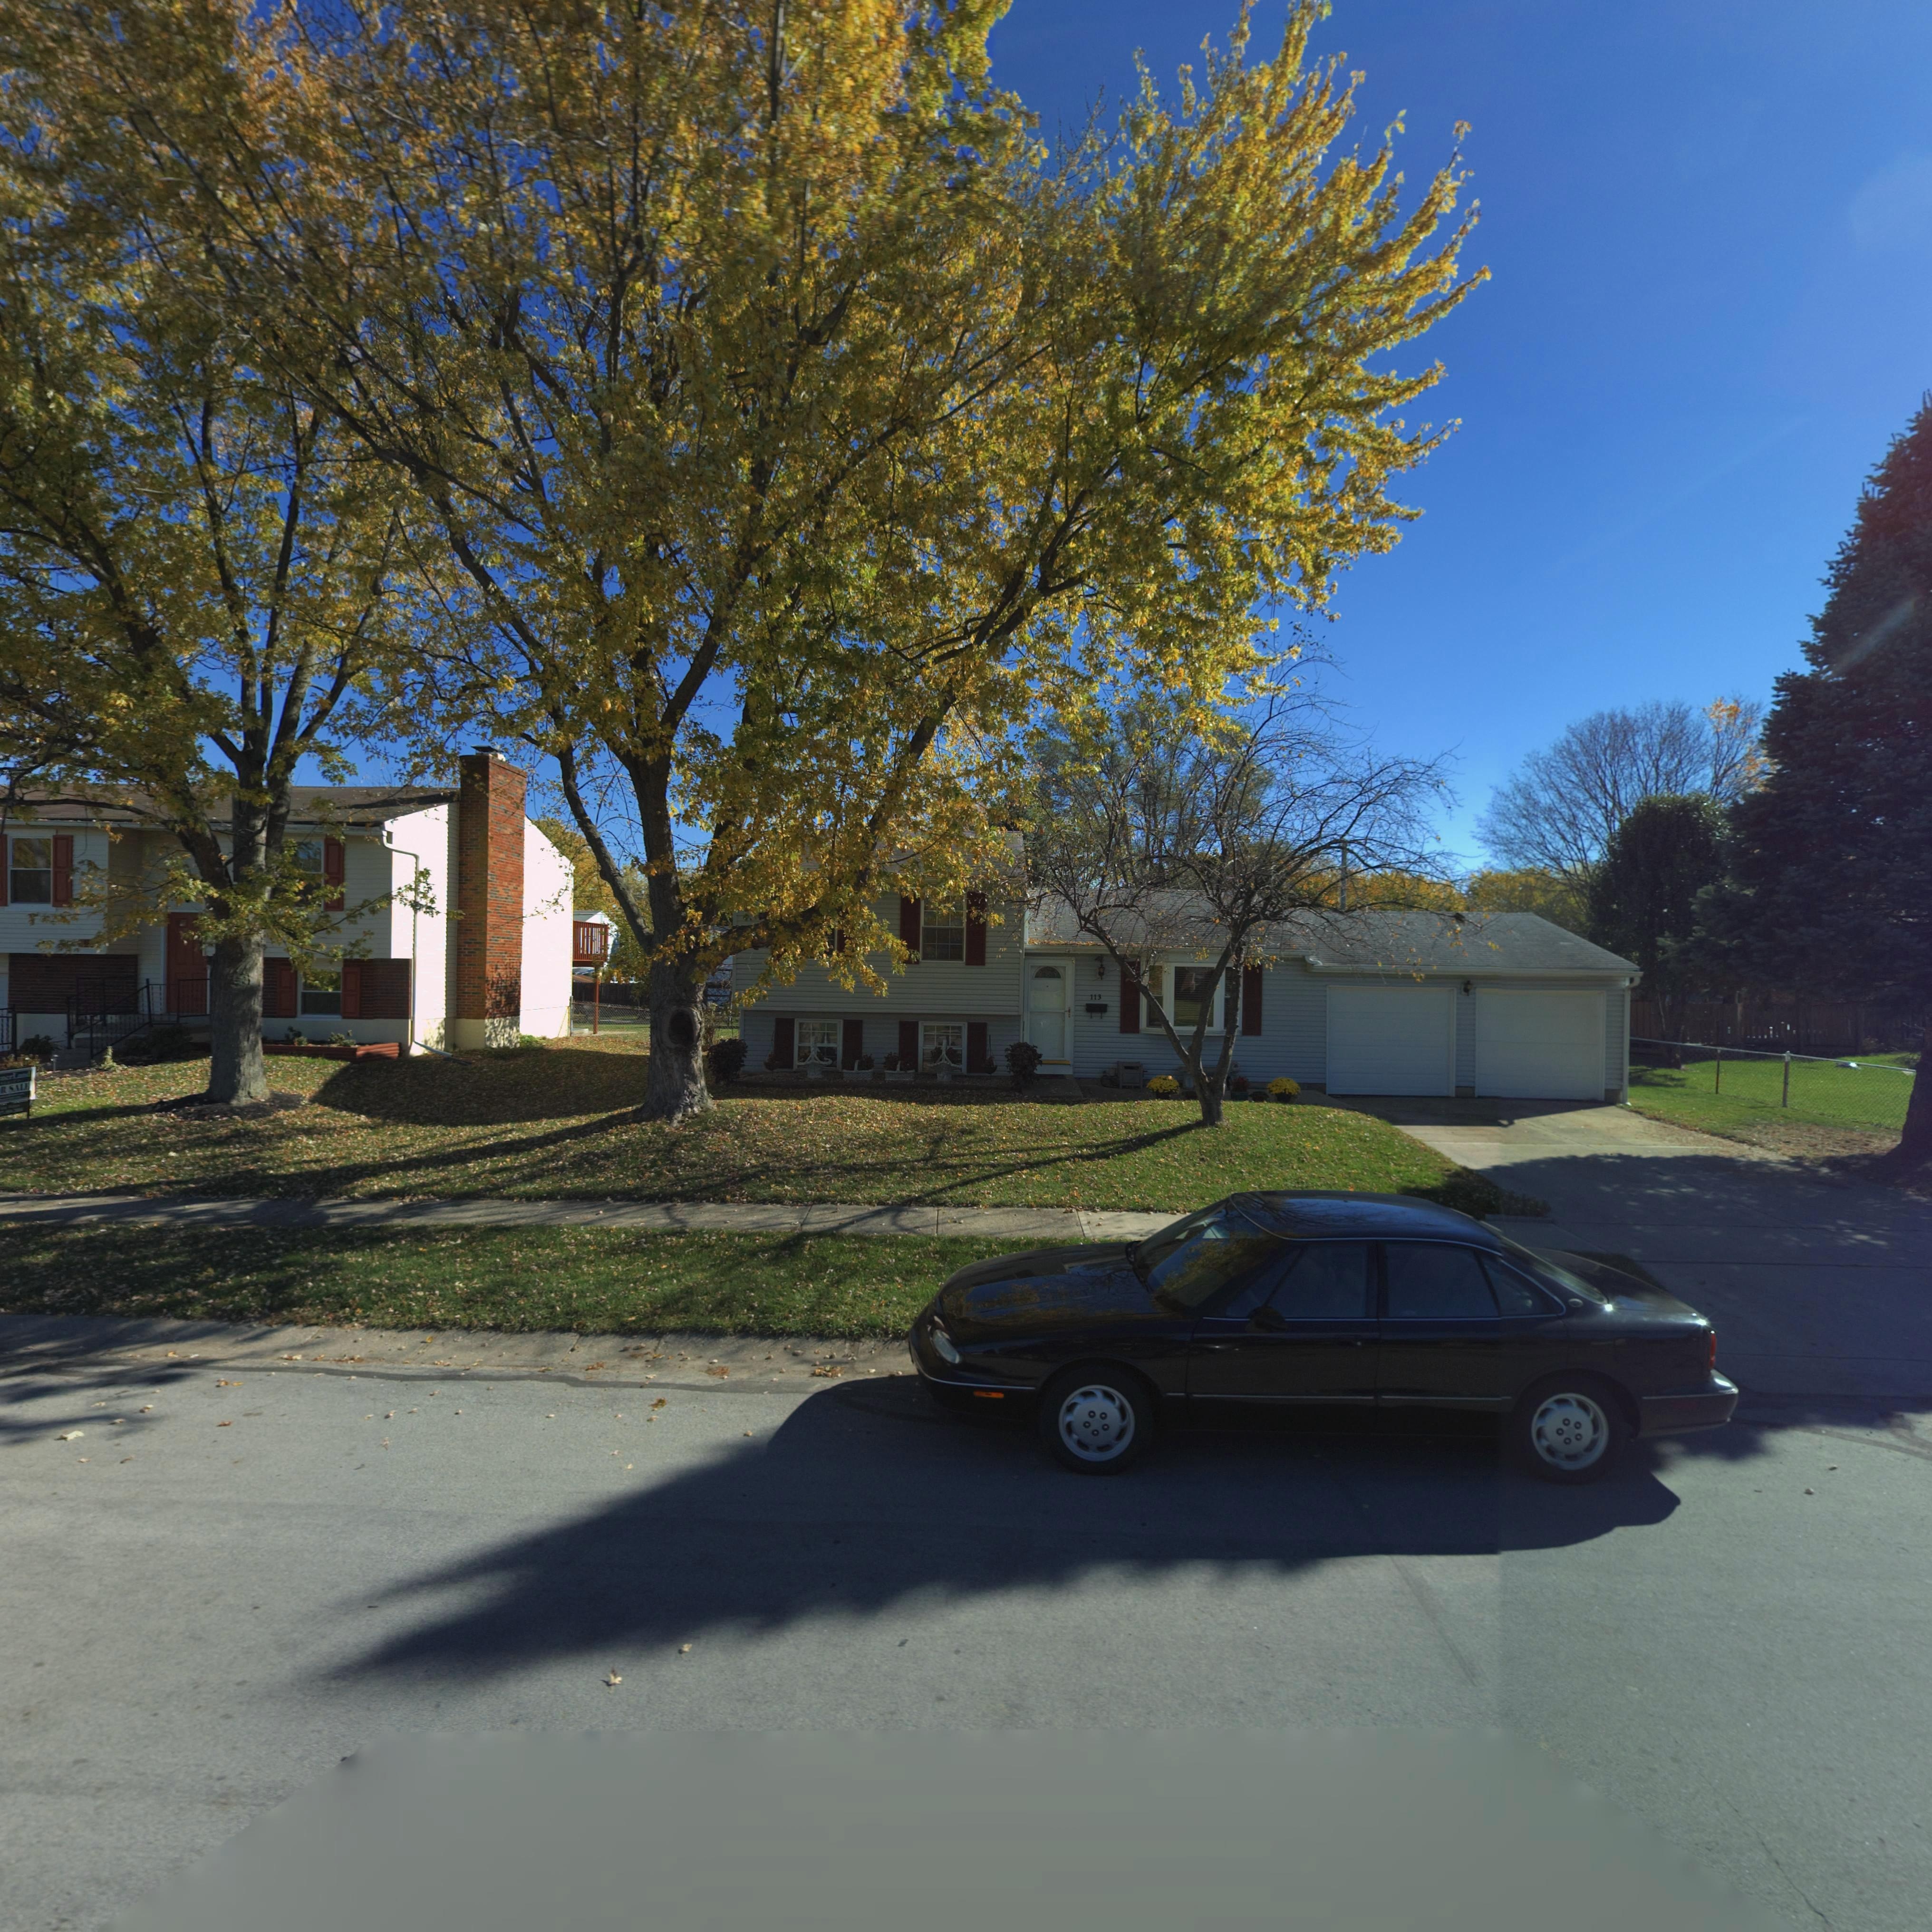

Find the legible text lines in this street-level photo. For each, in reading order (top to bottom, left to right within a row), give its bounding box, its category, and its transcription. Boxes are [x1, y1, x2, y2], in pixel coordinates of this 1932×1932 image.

[1089, 994, 1101, 1000] StreetNumber: 113